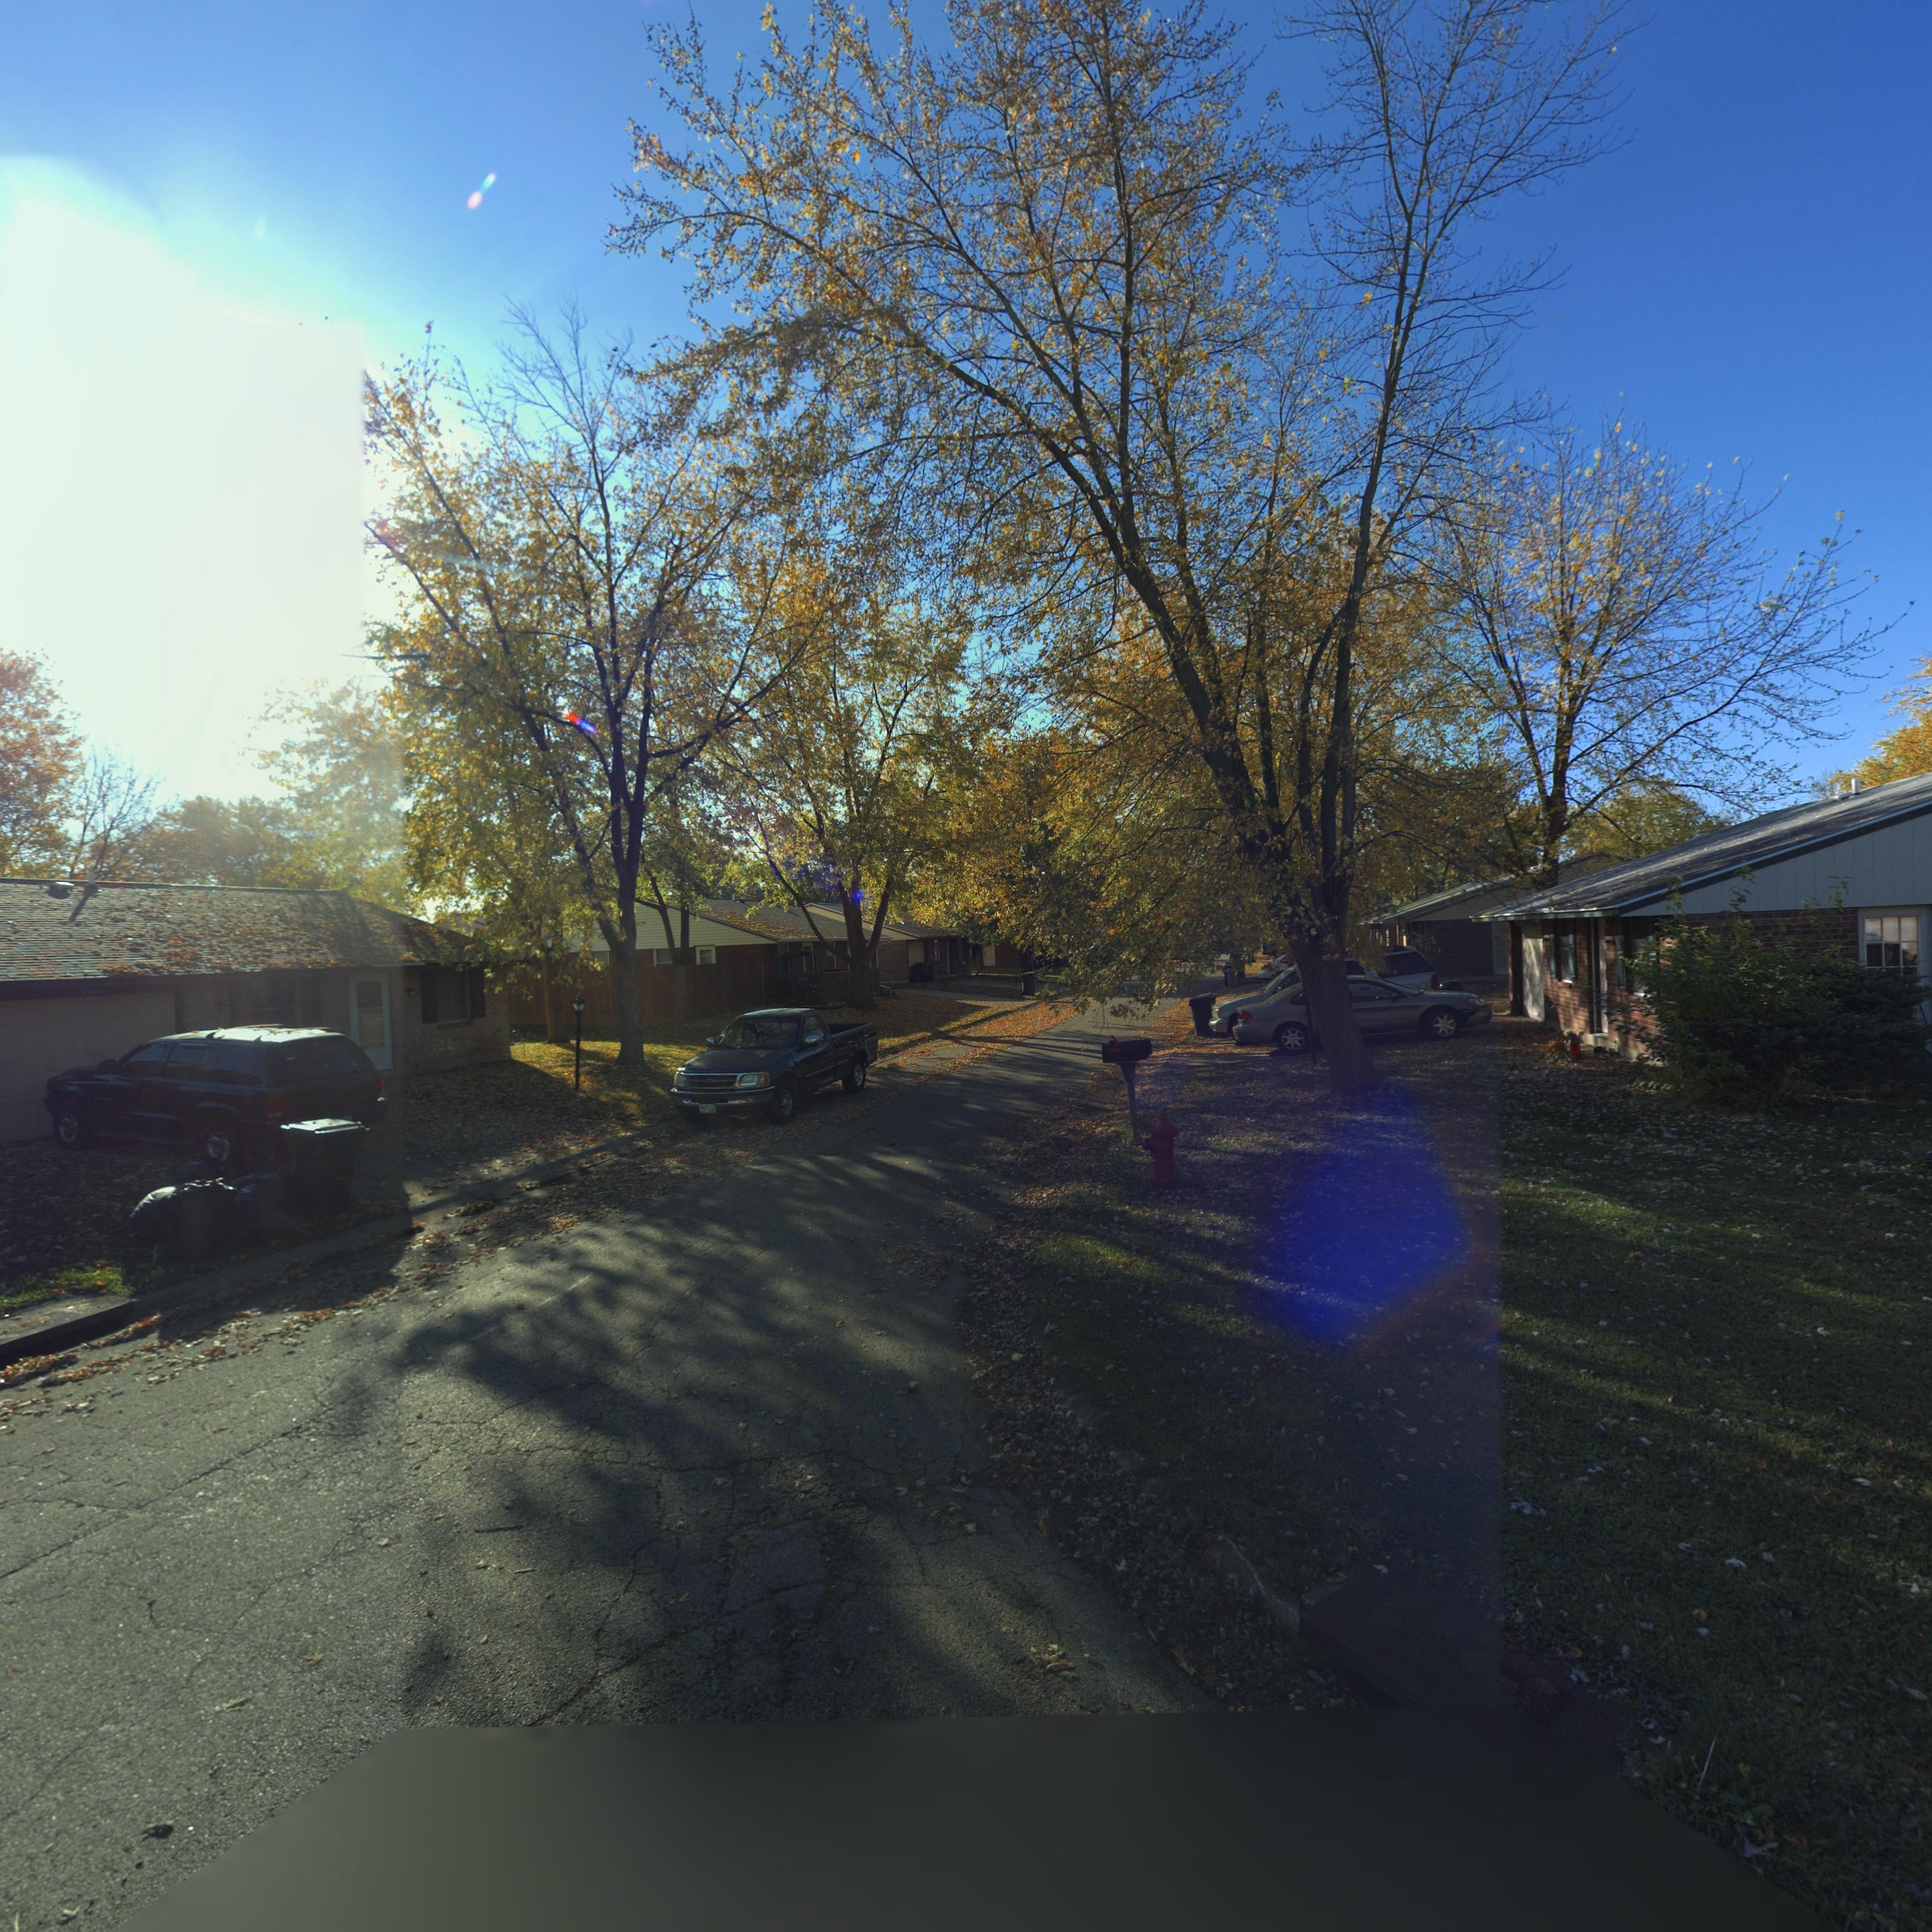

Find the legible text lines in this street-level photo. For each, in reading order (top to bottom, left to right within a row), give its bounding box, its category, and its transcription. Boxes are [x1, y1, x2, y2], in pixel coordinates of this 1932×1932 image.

[79, 986, 103, 996] StreetNumber: 818*